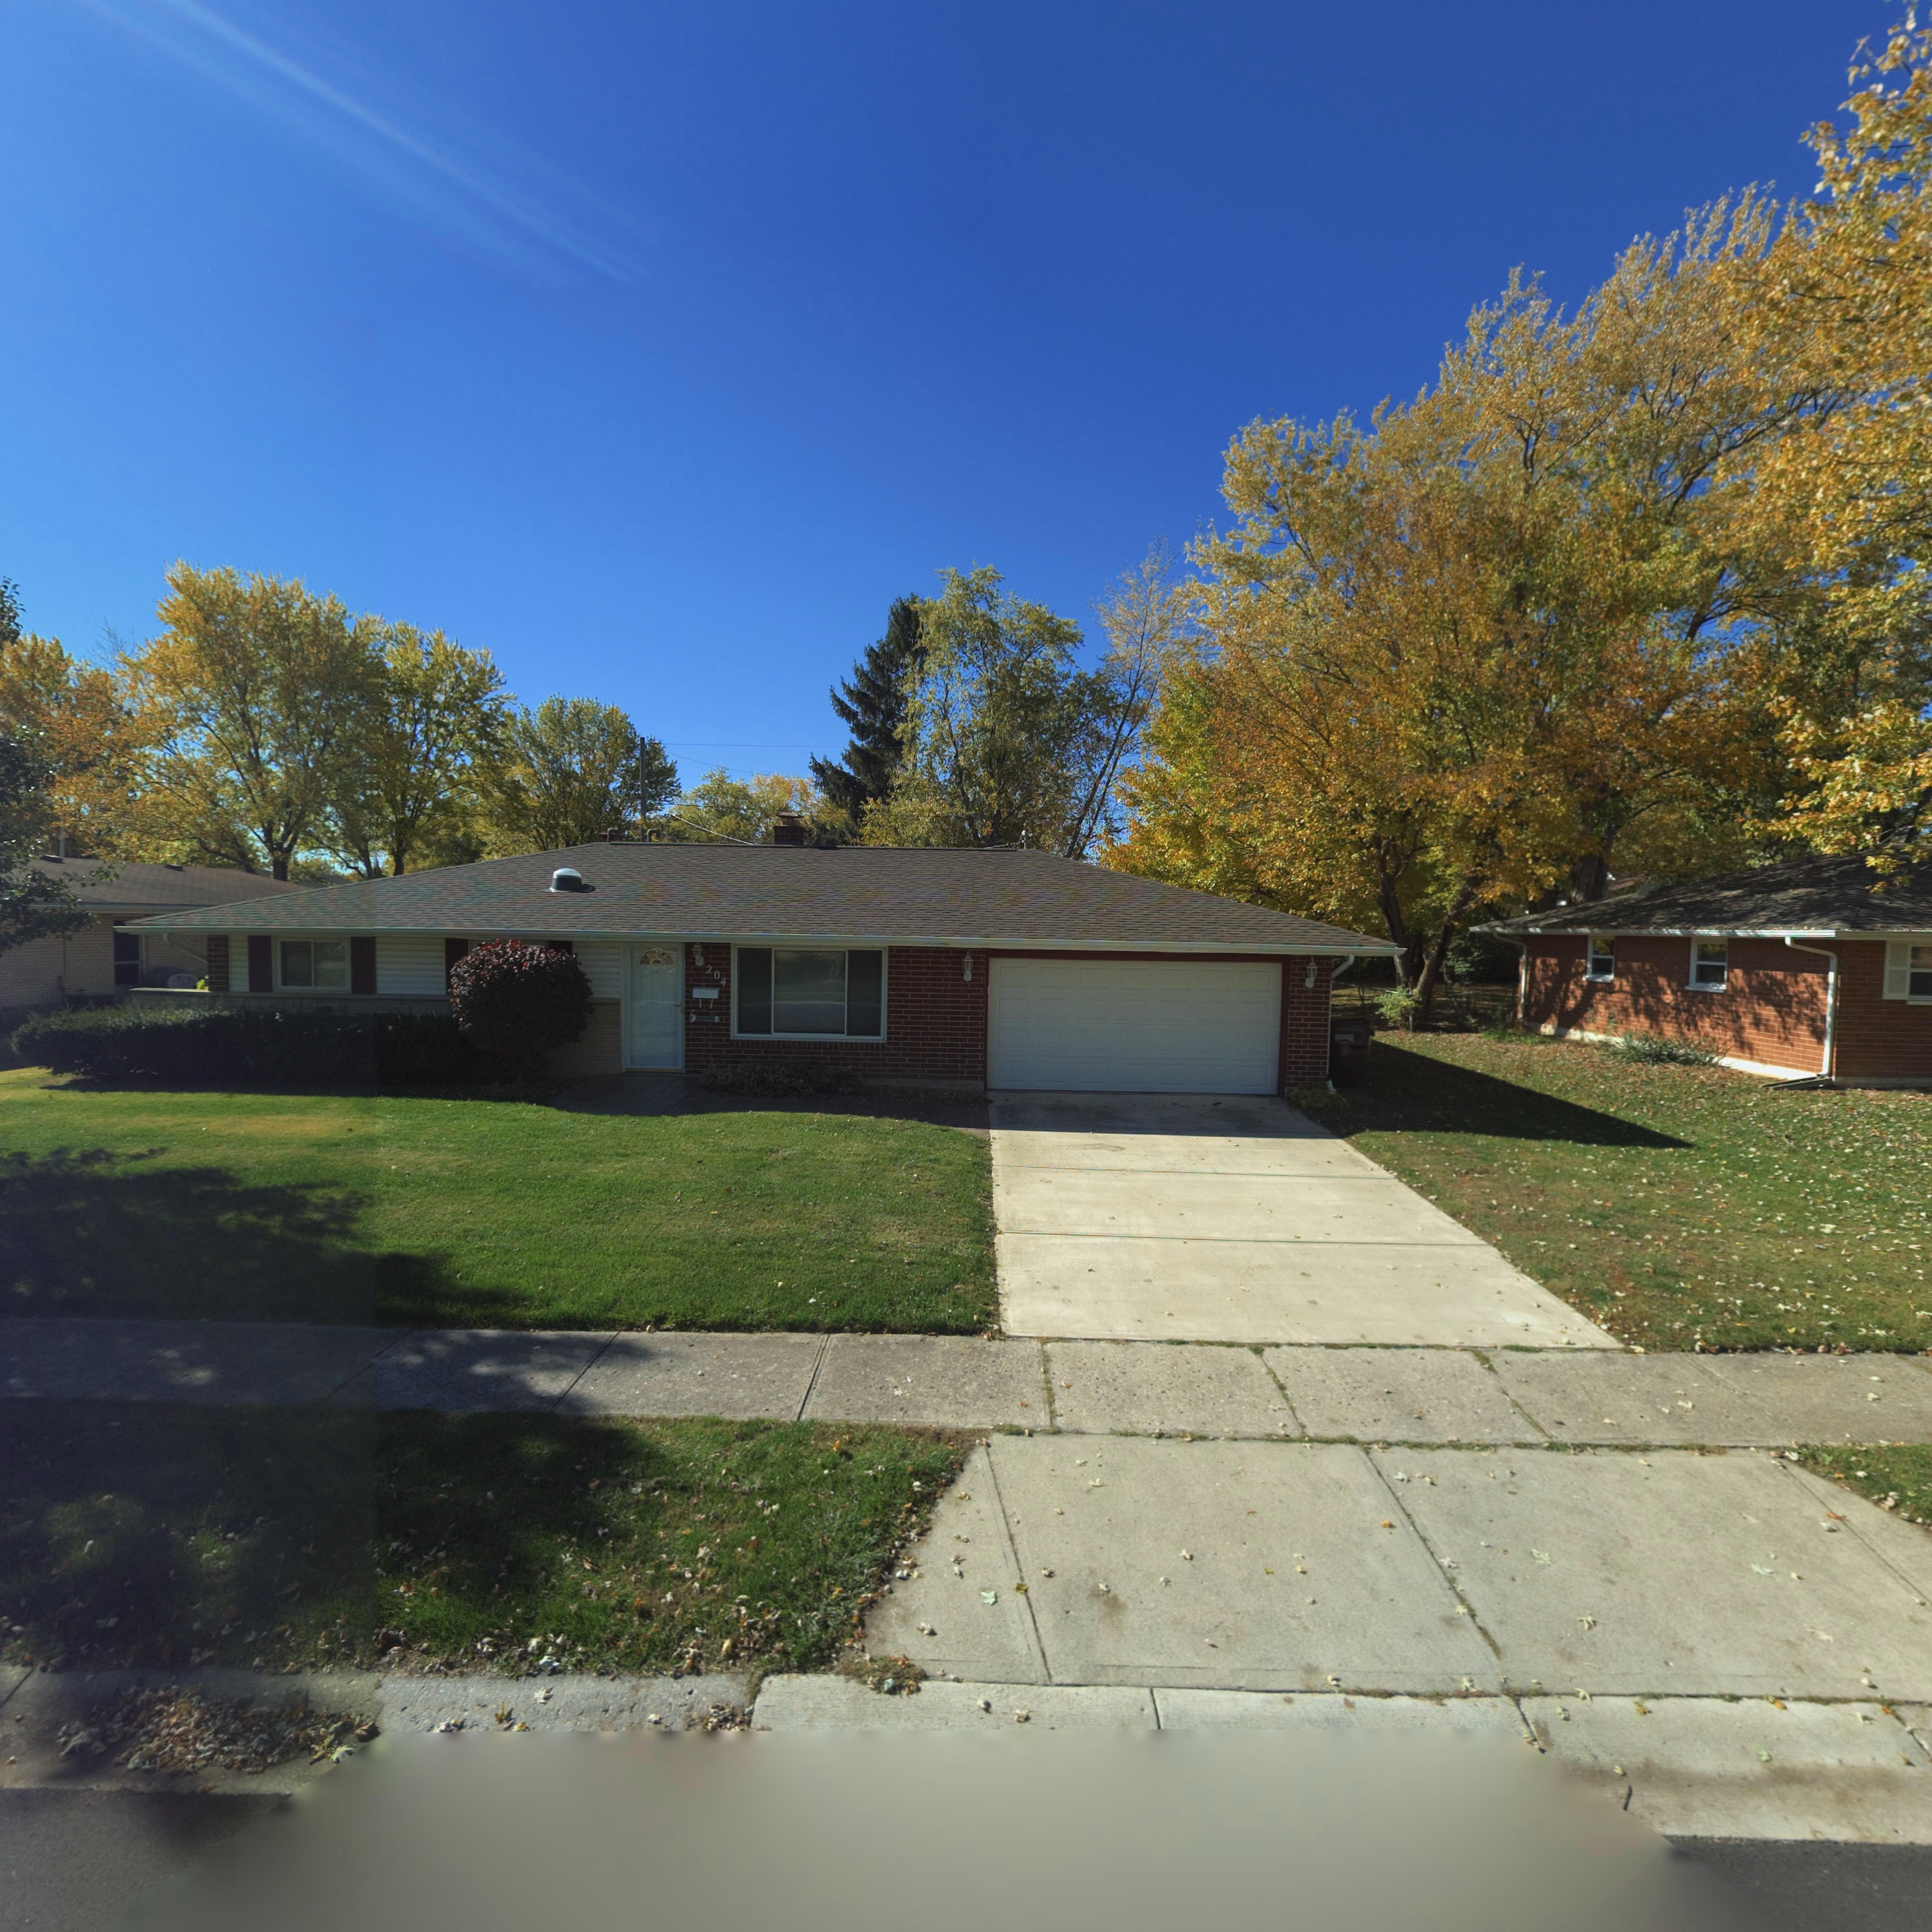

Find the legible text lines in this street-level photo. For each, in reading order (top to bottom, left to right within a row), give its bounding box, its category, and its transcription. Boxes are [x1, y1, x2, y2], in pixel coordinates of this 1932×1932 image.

[704, 964, 727, 987] StreetNumber: 204